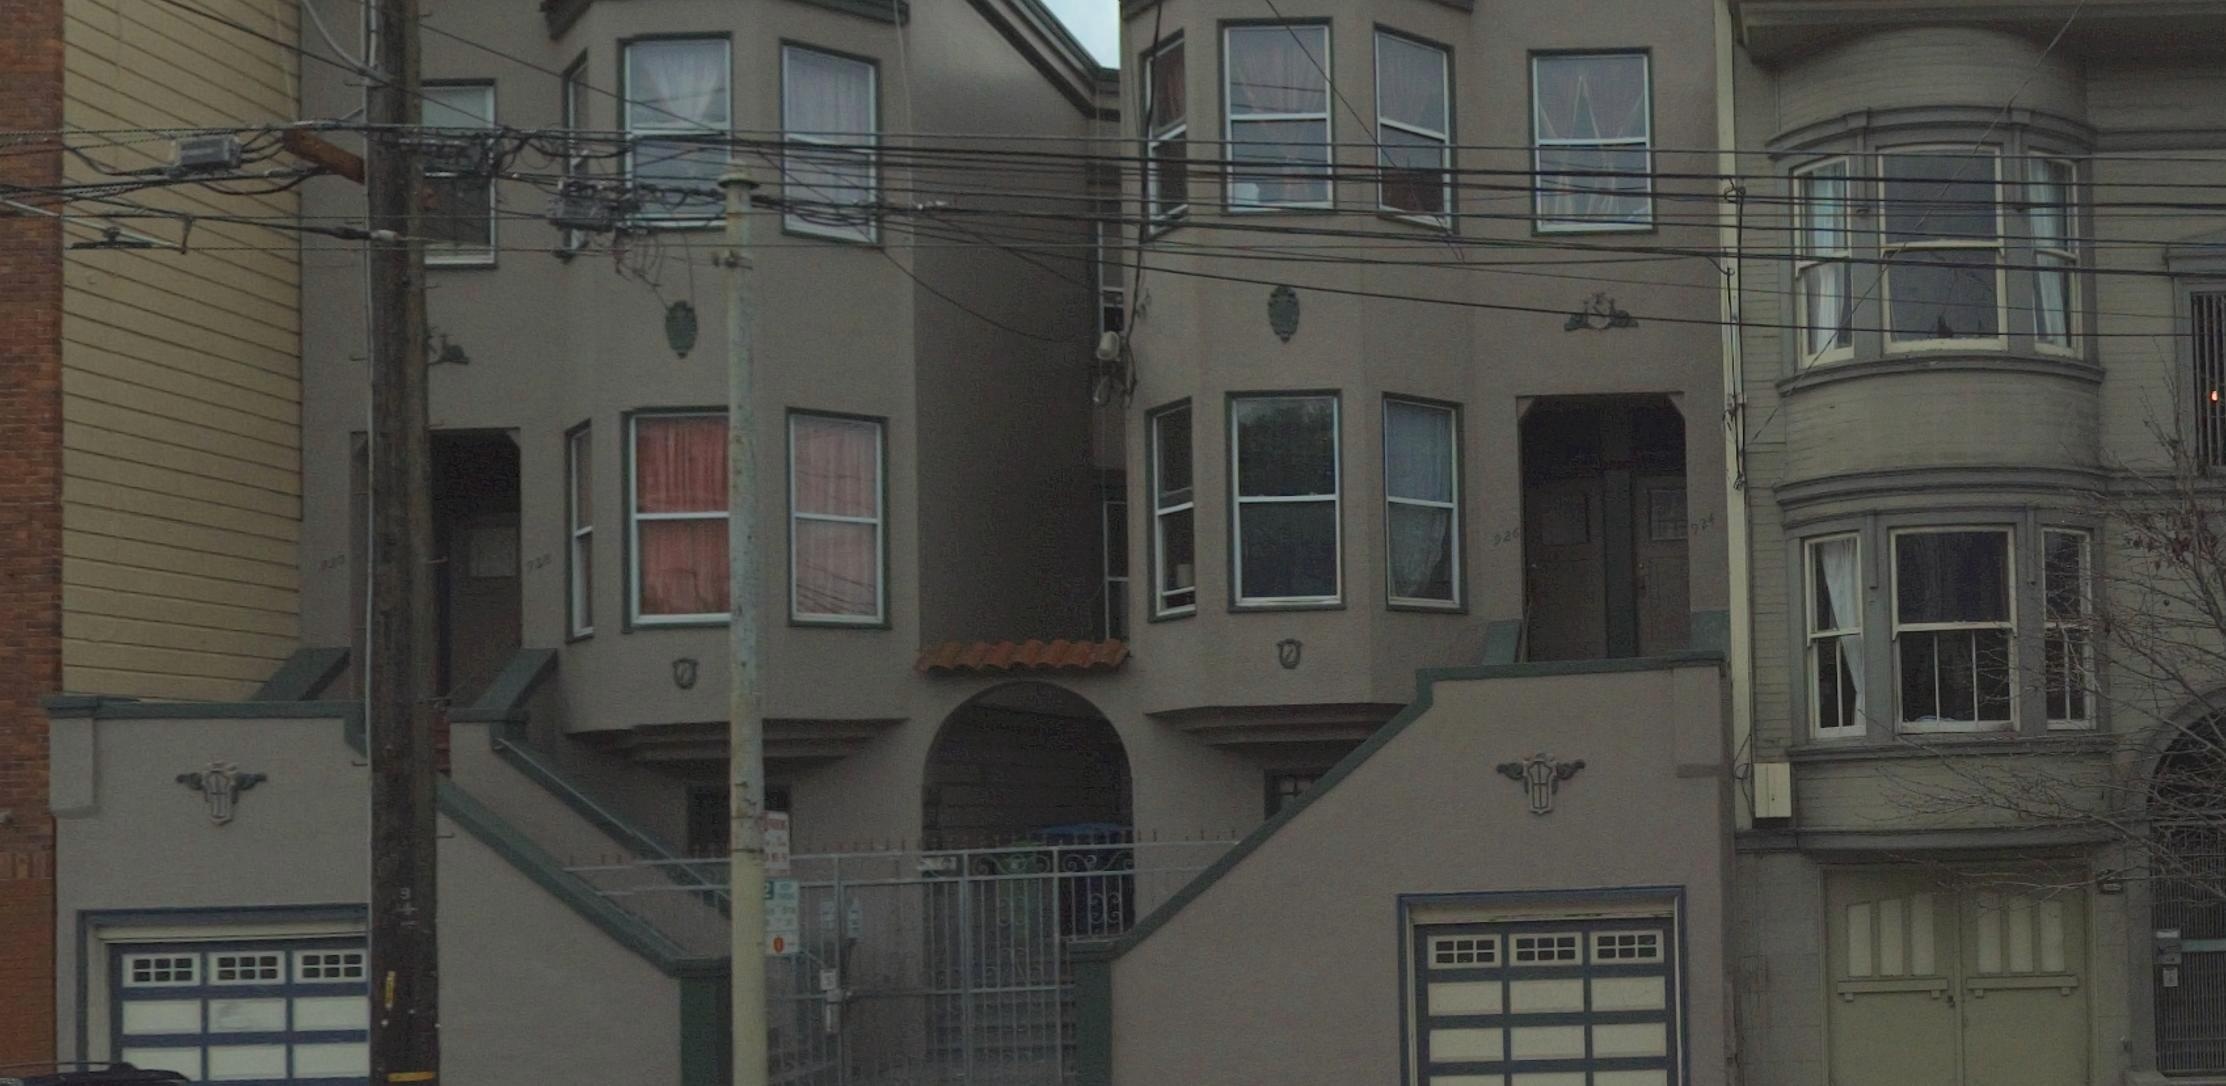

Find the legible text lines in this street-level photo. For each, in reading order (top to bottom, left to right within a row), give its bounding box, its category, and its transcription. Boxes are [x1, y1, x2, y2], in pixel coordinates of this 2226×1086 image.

[1689, 511, 1718, 536] StreetNumber: 924
[1493, 525, 1522, 548] StreetNumber: 926
[316, 551, 347, 576] StreetNumber: 930
[524, 550, 554, 575] StreetNumber: 928
[398, 885, 418, 917] None: 94